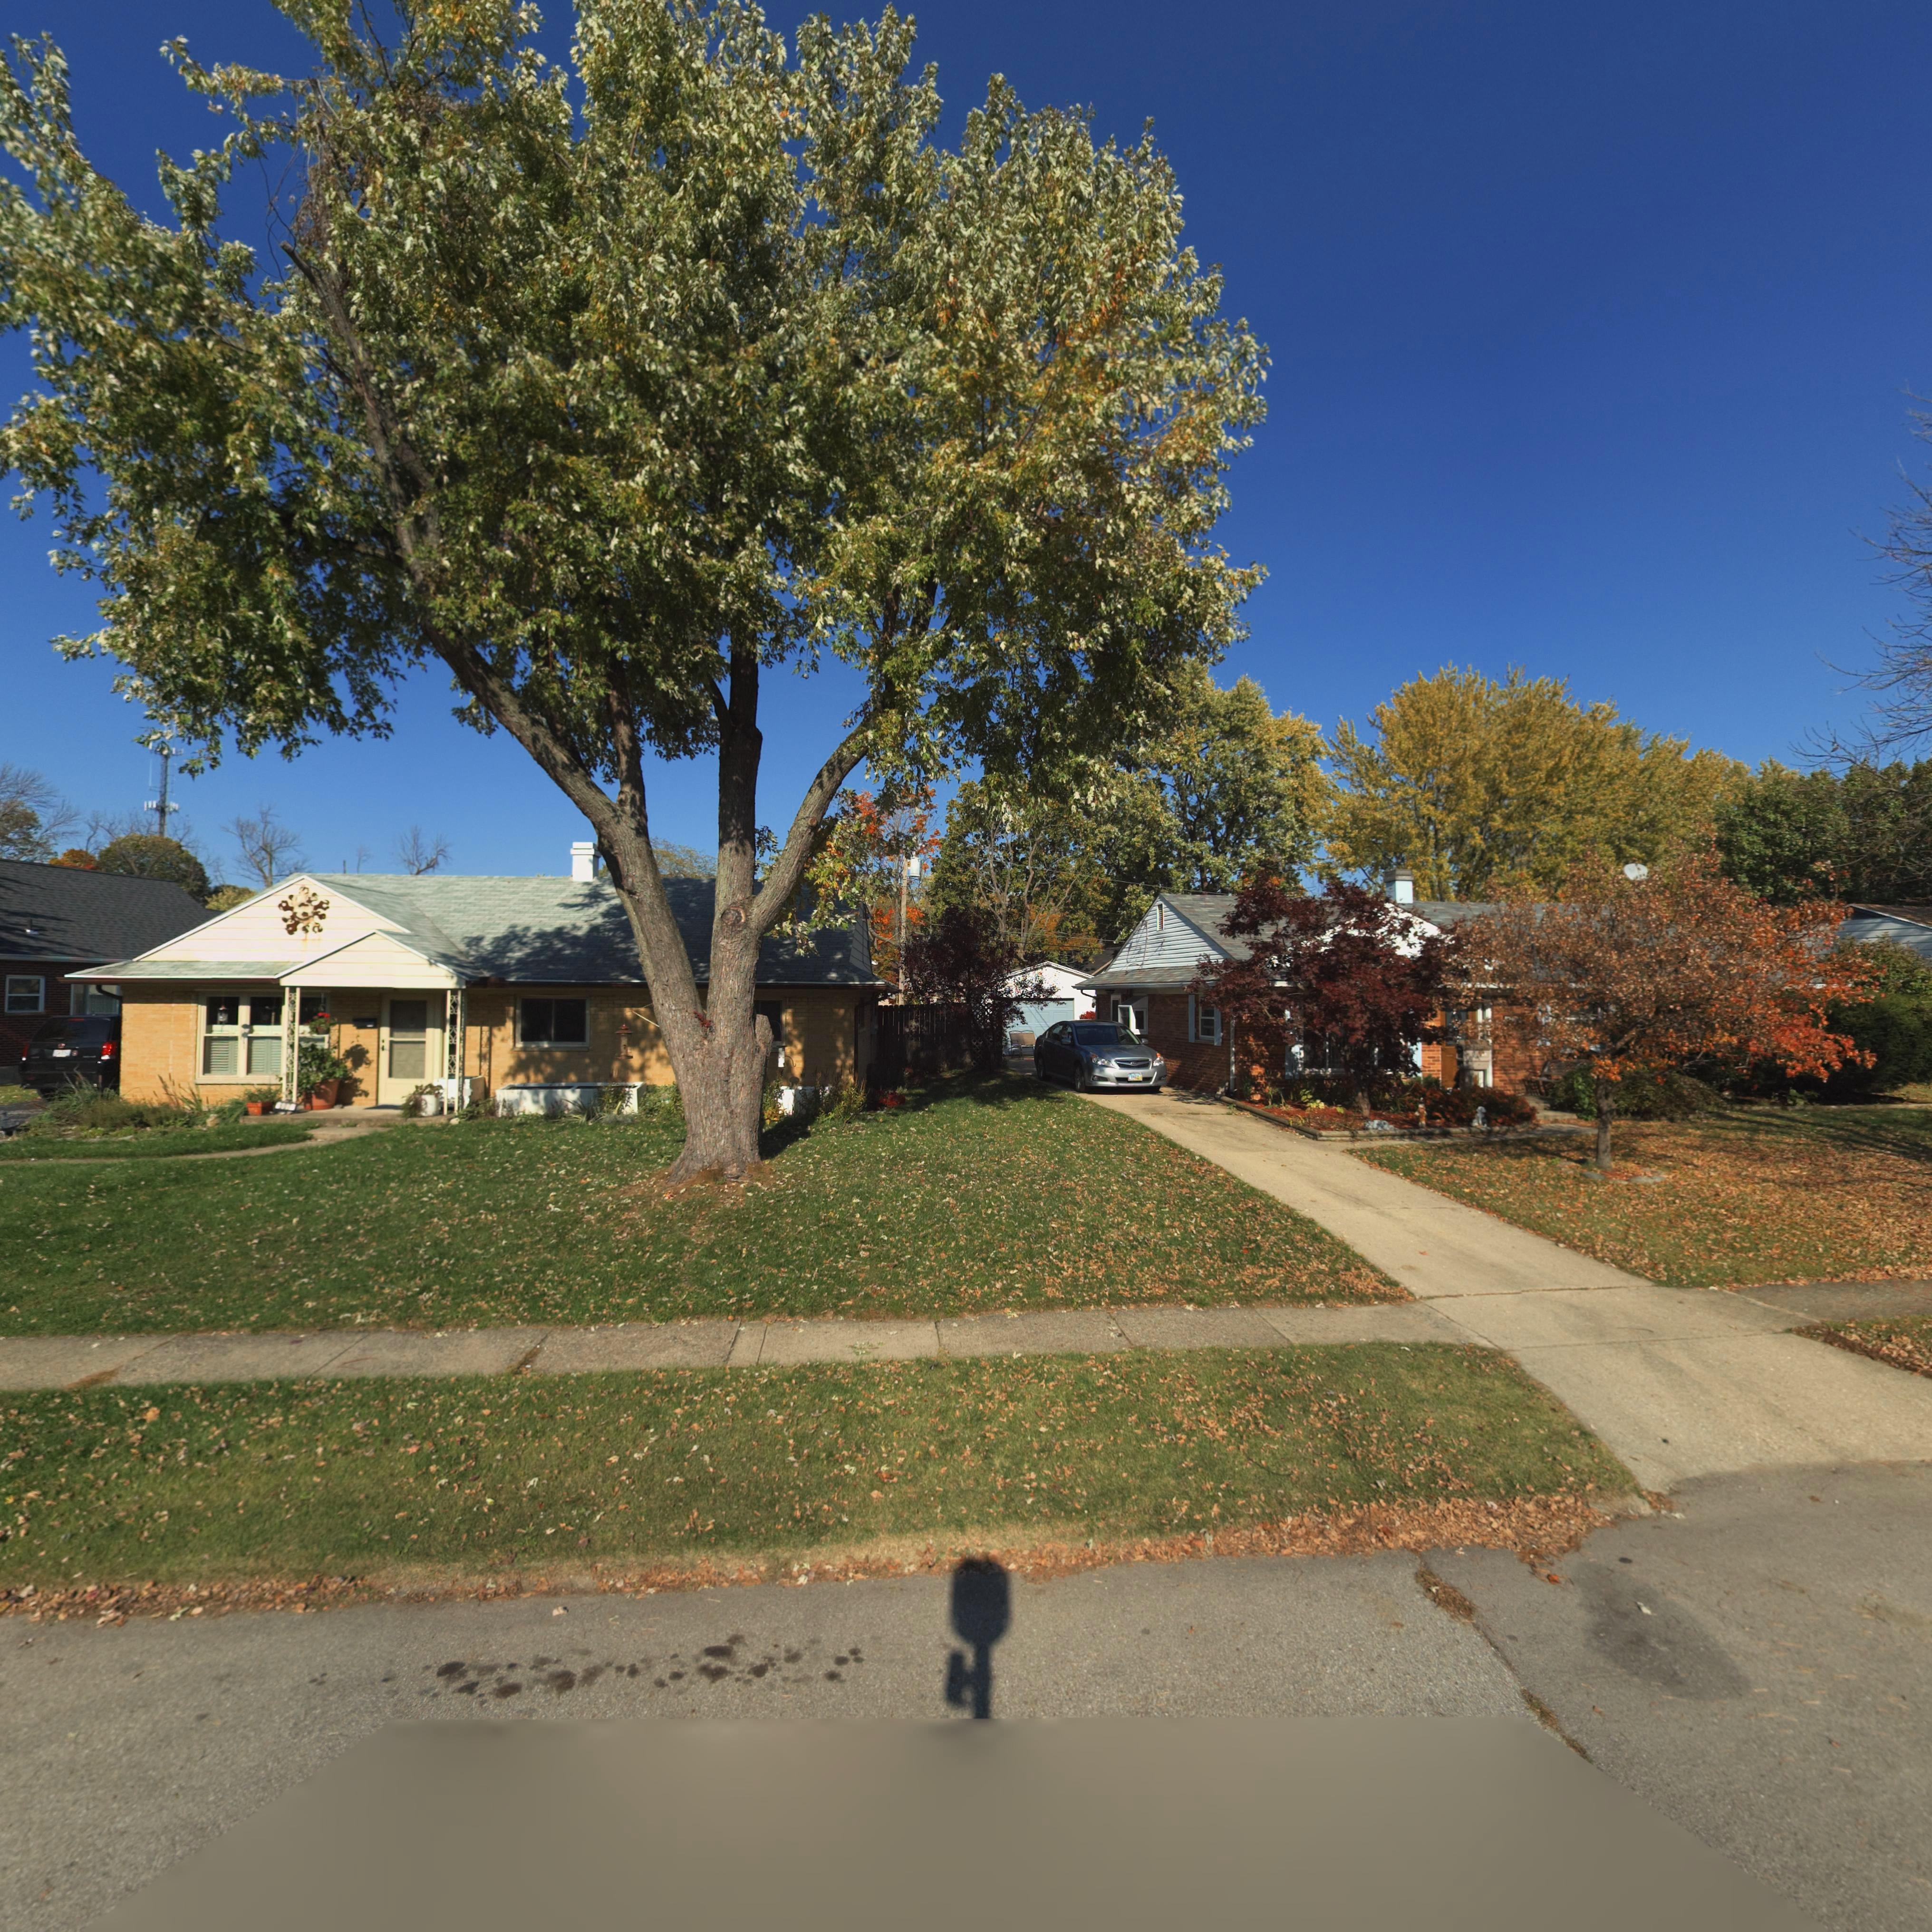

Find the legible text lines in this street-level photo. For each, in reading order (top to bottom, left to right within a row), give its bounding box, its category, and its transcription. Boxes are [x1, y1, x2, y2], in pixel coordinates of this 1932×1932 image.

[277, 1102, 293, 1111] StreetNumber: **7